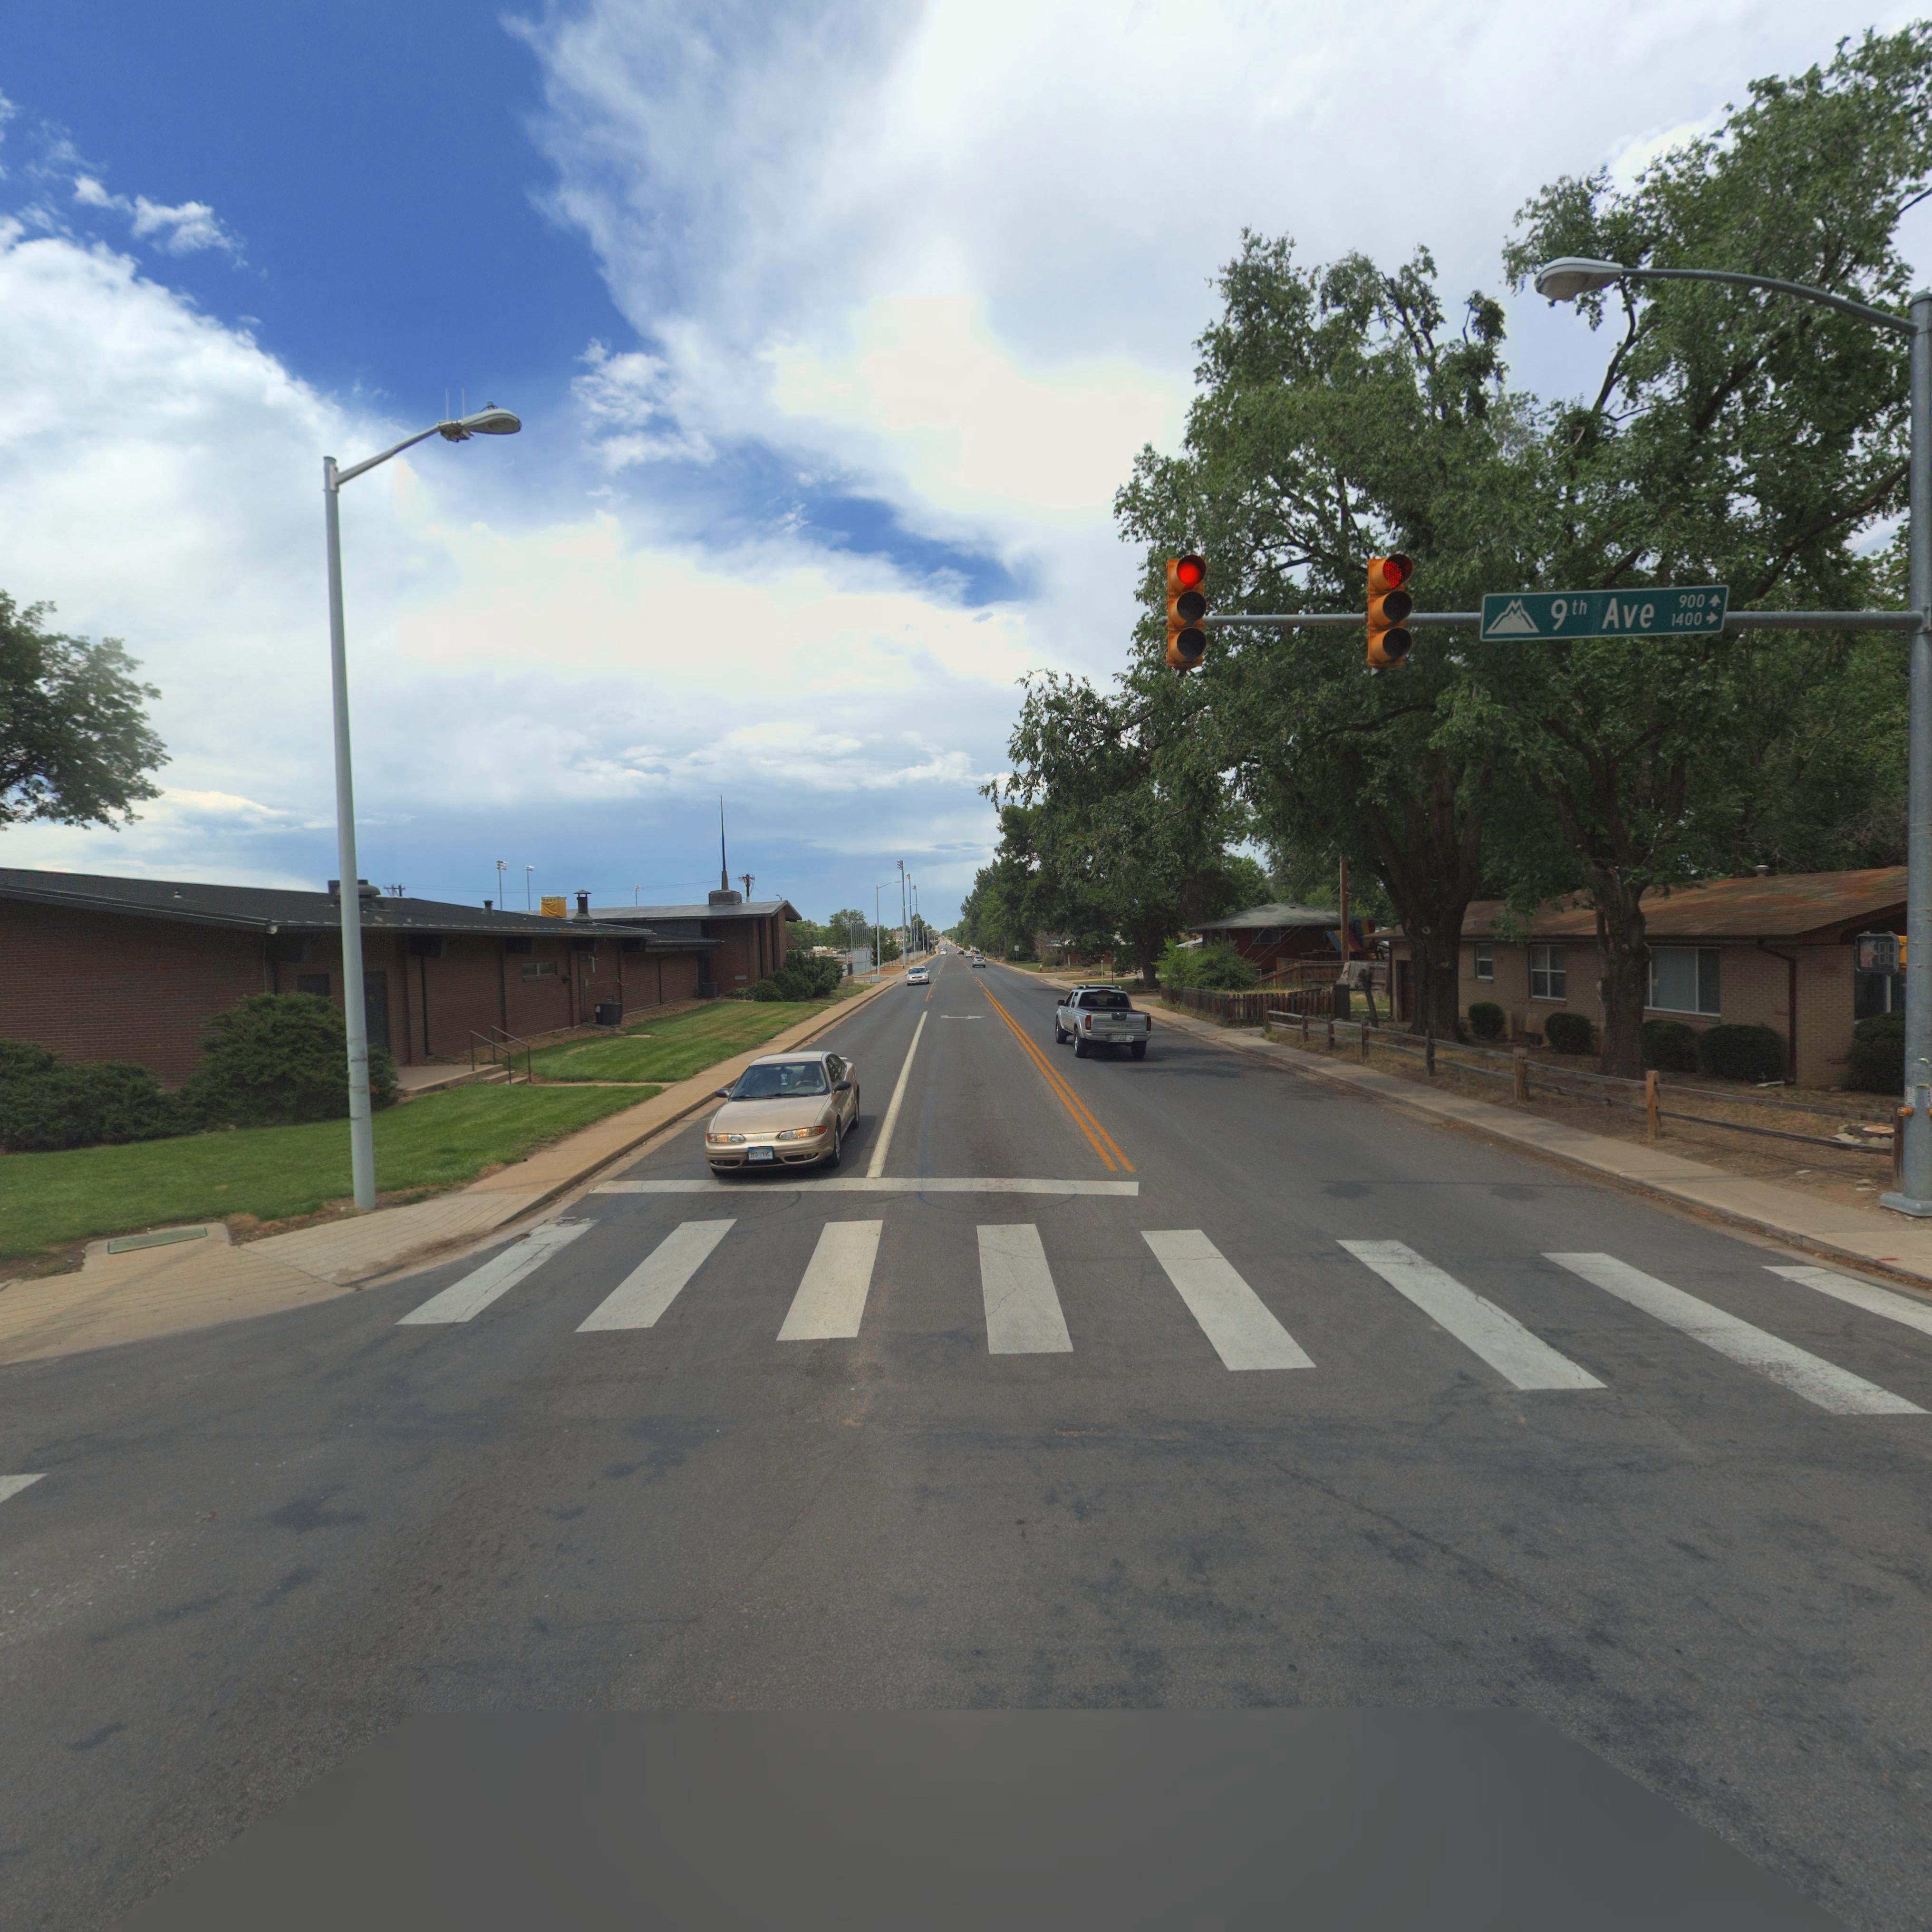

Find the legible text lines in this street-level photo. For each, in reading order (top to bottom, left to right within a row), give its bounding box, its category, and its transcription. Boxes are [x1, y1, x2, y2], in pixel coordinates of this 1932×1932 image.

[1678, 593, 1705, 608] StreetNumberRange: 900
[1549, 597, 1655, 631] StreetName: 9th Ave
[1671, 611, 1718, 627] StreetNumberRange: 1400 ->